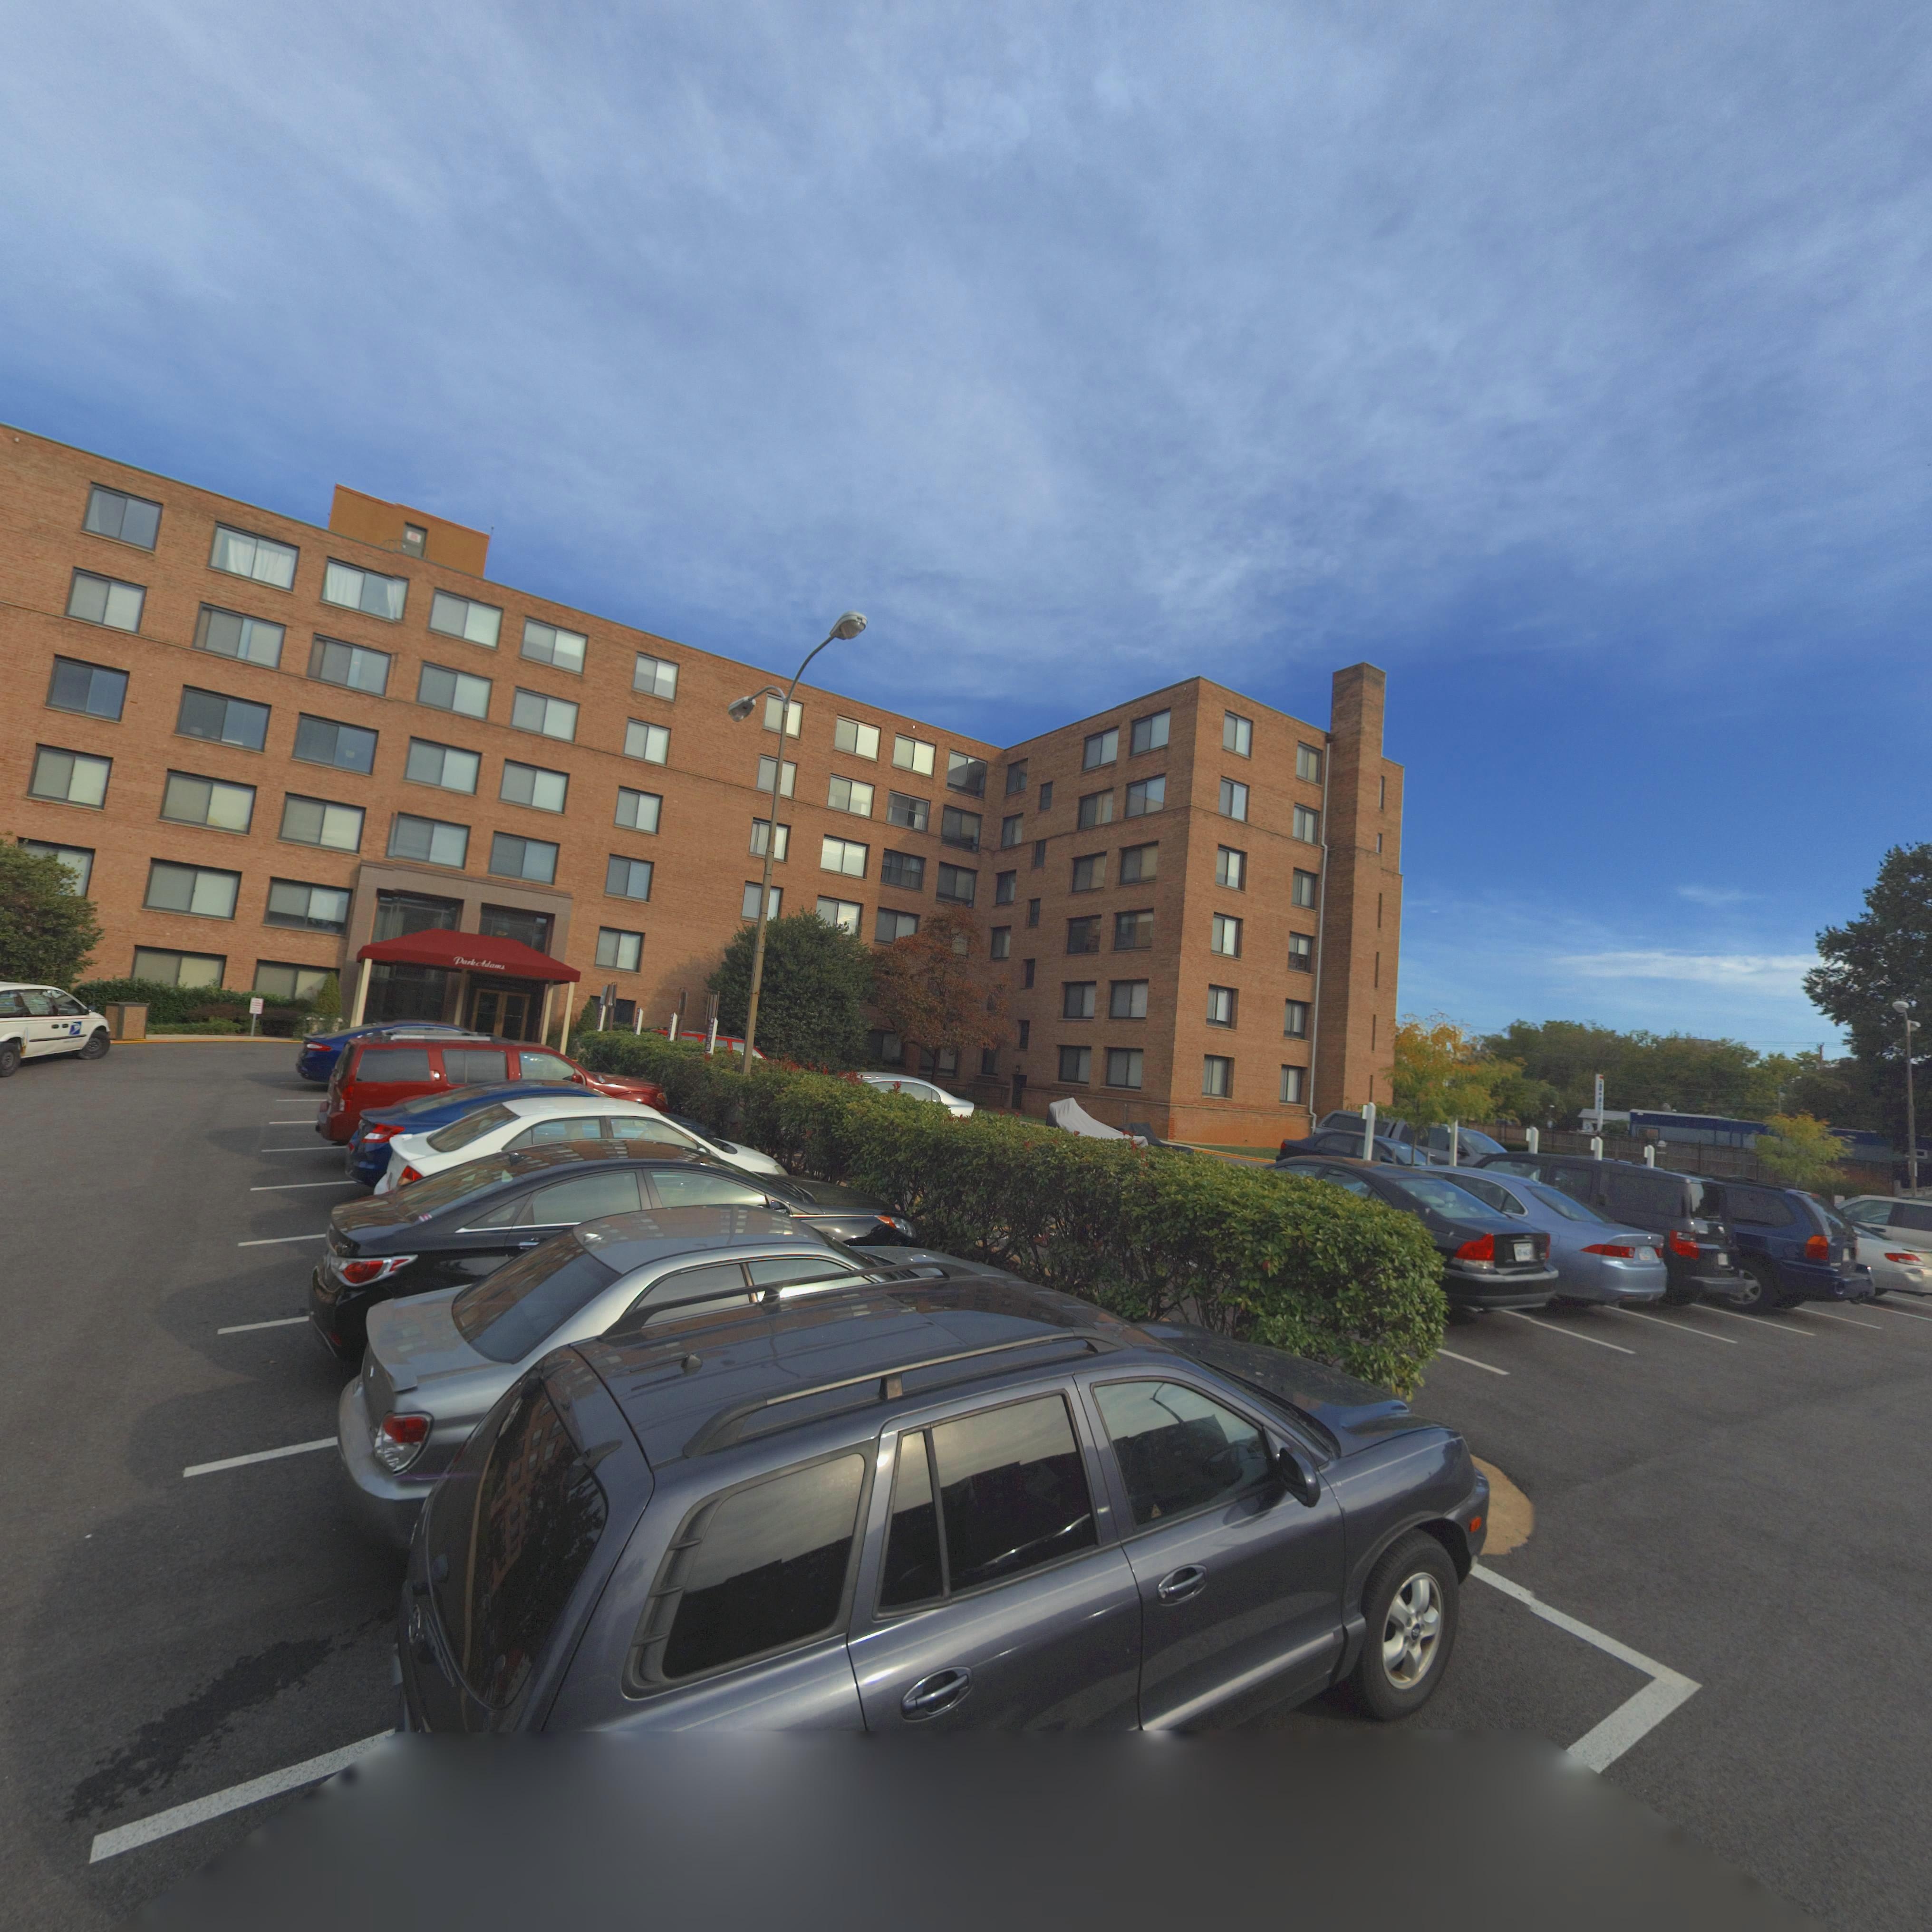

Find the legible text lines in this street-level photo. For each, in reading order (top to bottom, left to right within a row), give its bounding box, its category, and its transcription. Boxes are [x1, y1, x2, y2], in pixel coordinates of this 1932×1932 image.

[454, 955, 507, 971] BusinessName: Park Ada*s